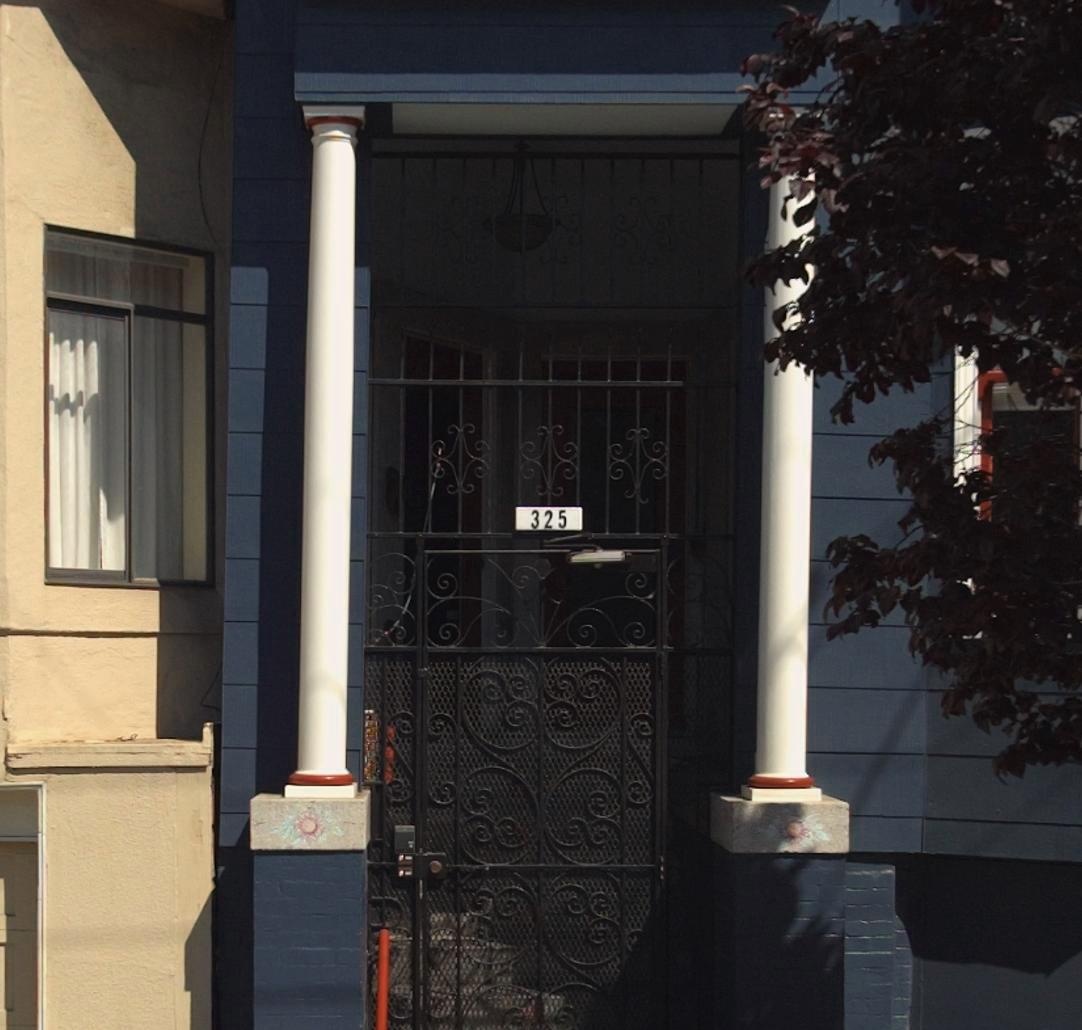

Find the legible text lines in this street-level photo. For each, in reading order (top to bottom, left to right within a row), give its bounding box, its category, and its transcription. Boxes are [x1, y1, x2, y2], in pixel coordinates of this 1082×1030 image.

[530, 509, 568, 529] StreetNumber: 325